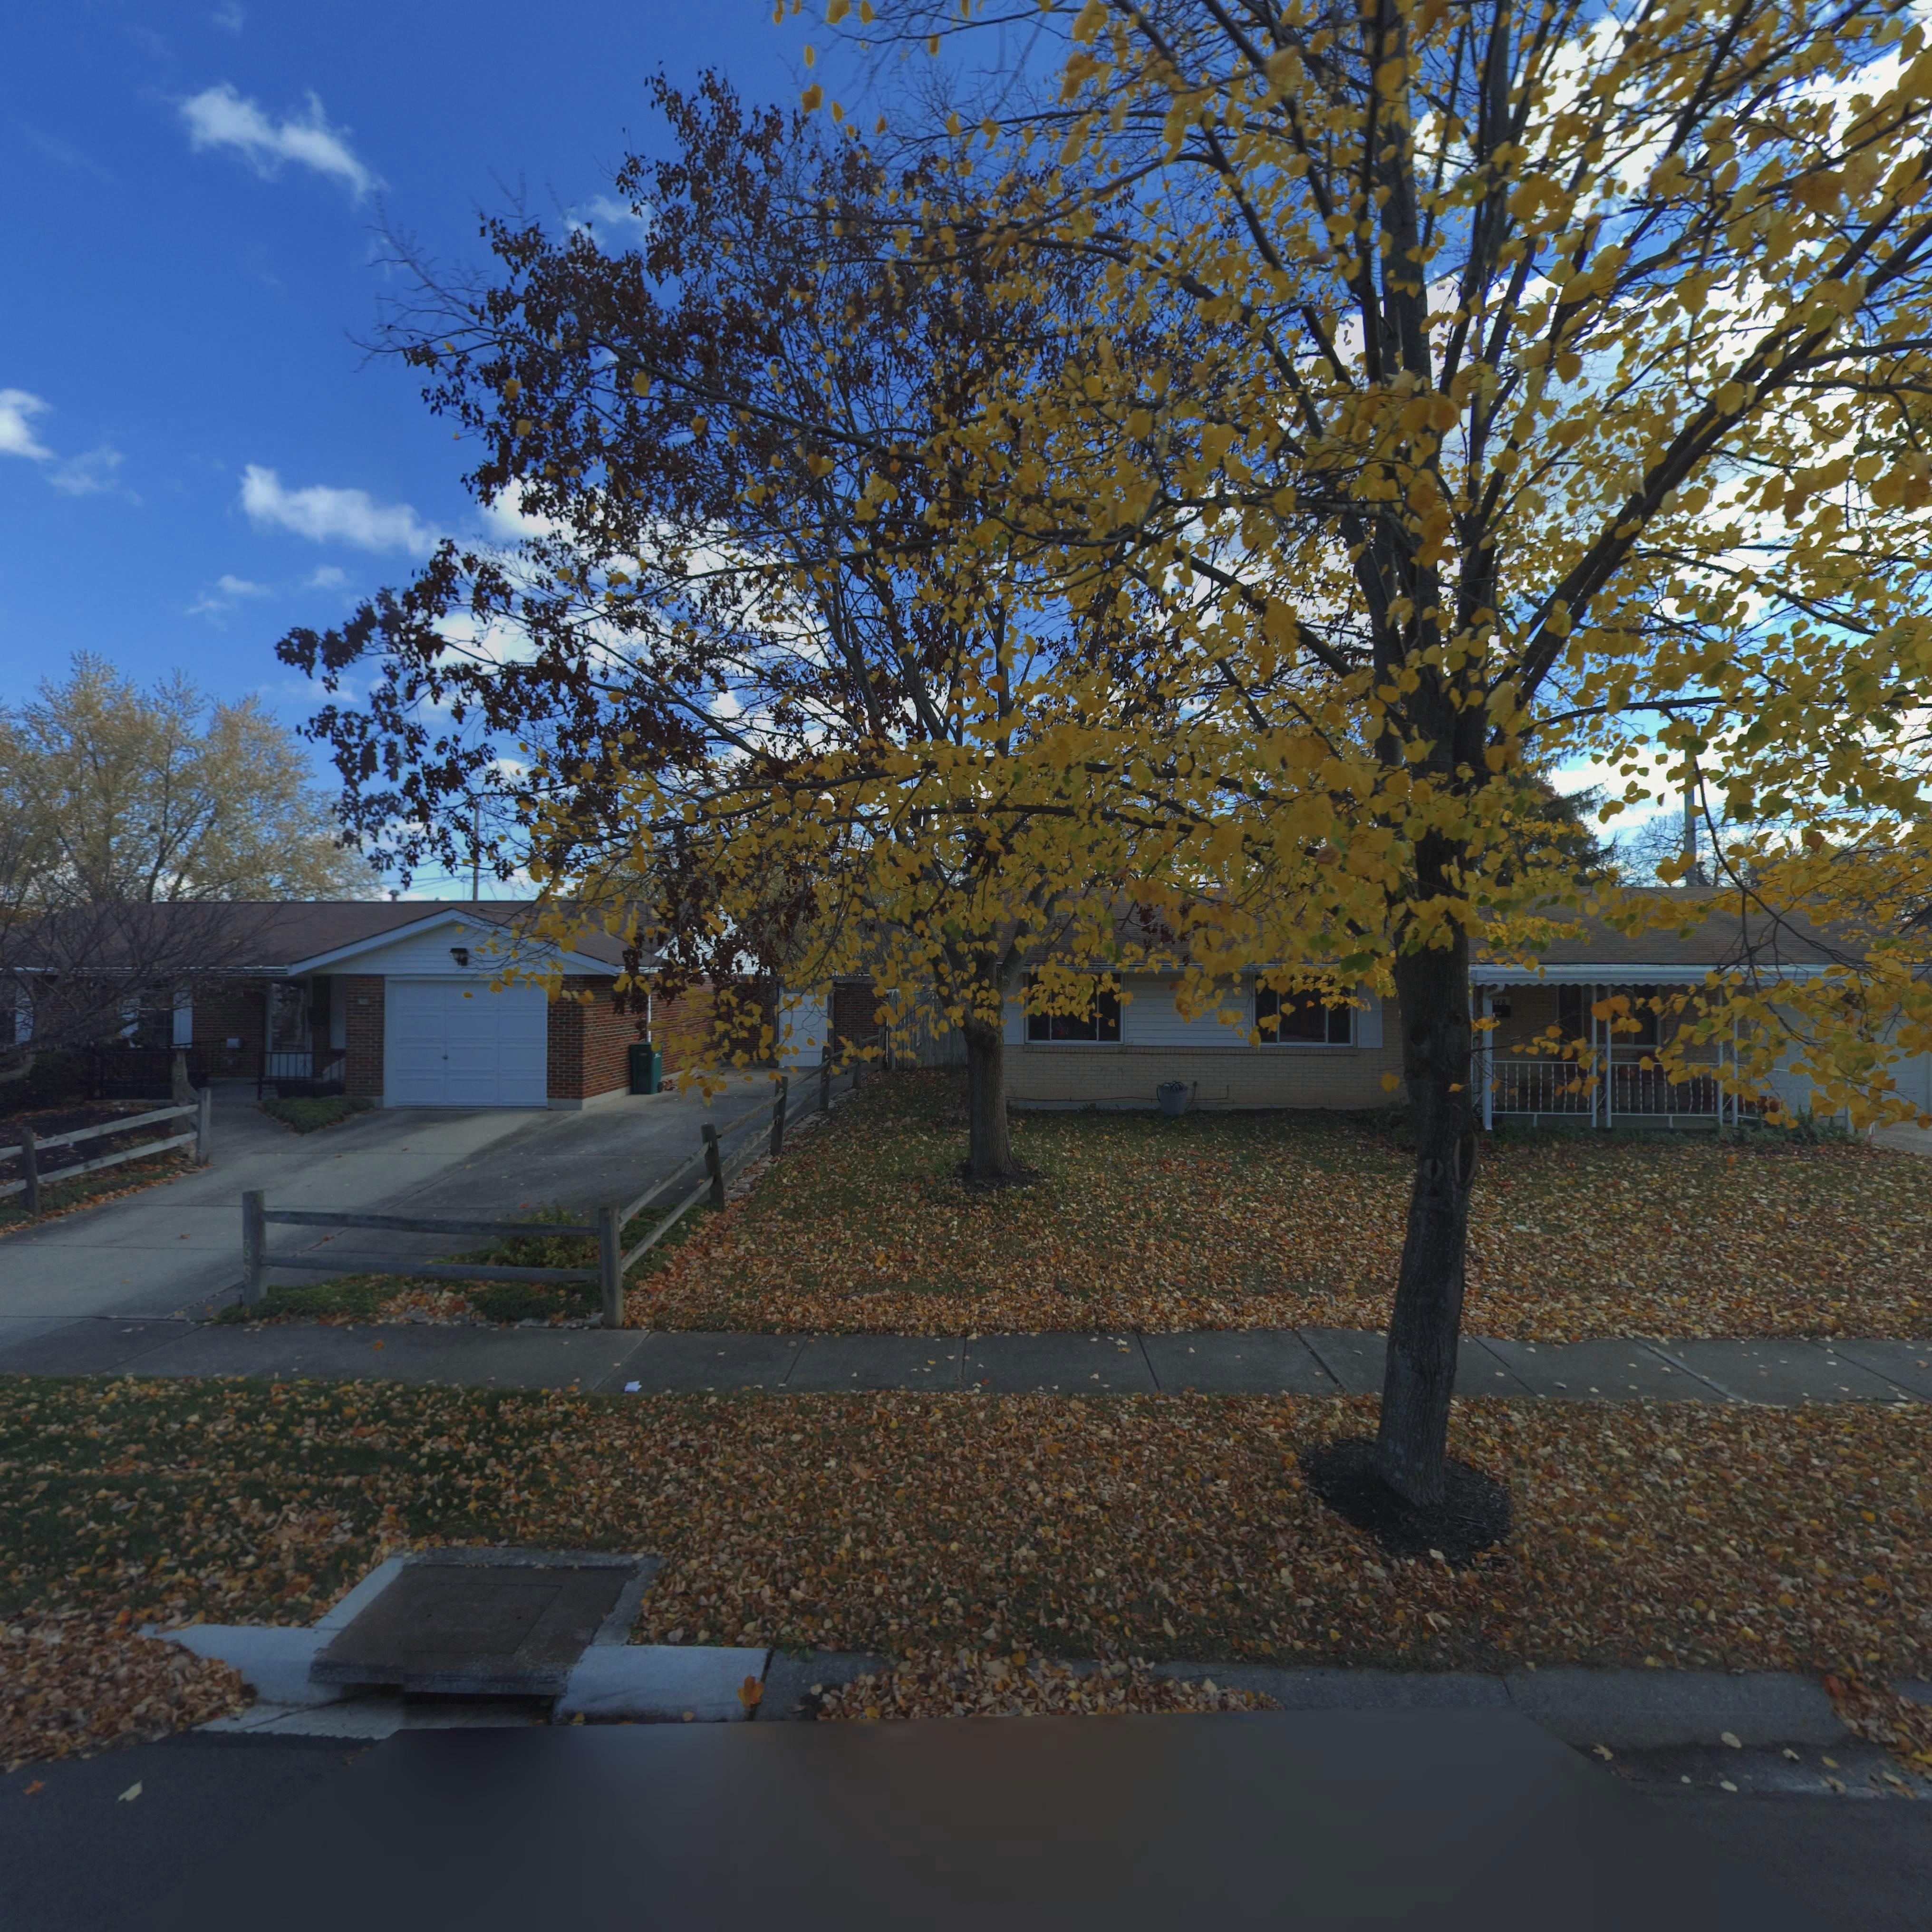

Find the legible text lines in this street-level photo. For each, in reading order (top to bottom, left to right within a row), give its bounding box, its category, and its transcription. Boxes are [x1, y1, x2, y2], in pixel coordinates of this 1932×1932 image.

[1496, 998, 1506, 1005] StreetNumber: 48